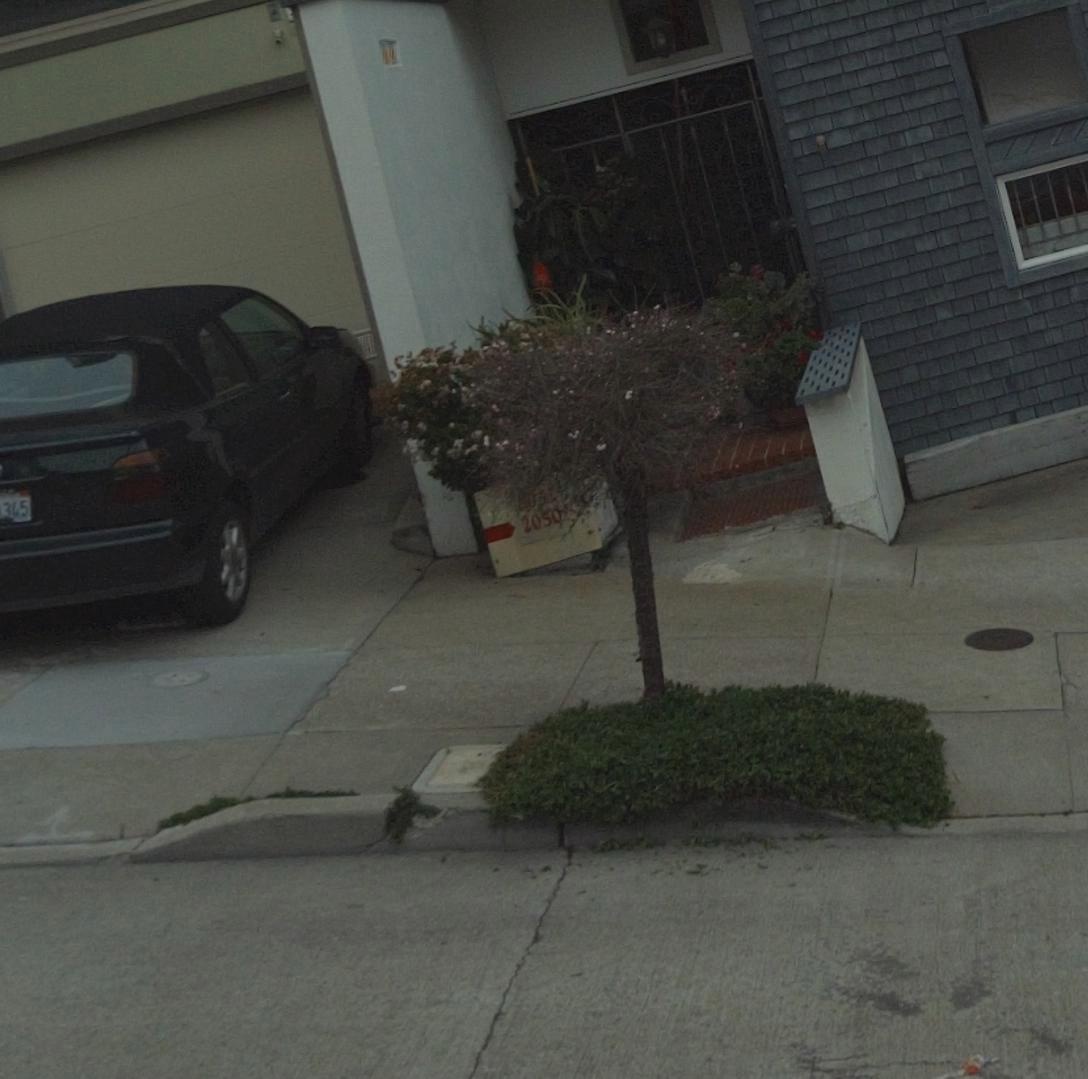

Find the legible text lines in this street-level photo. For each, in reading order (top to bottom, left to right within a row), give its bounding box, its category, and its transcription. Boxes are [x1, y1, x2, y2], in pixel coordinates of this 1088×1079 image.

[1, 496, 30, 522] None: 345
[518, 507, 565, 535] StreetNumber: 2050